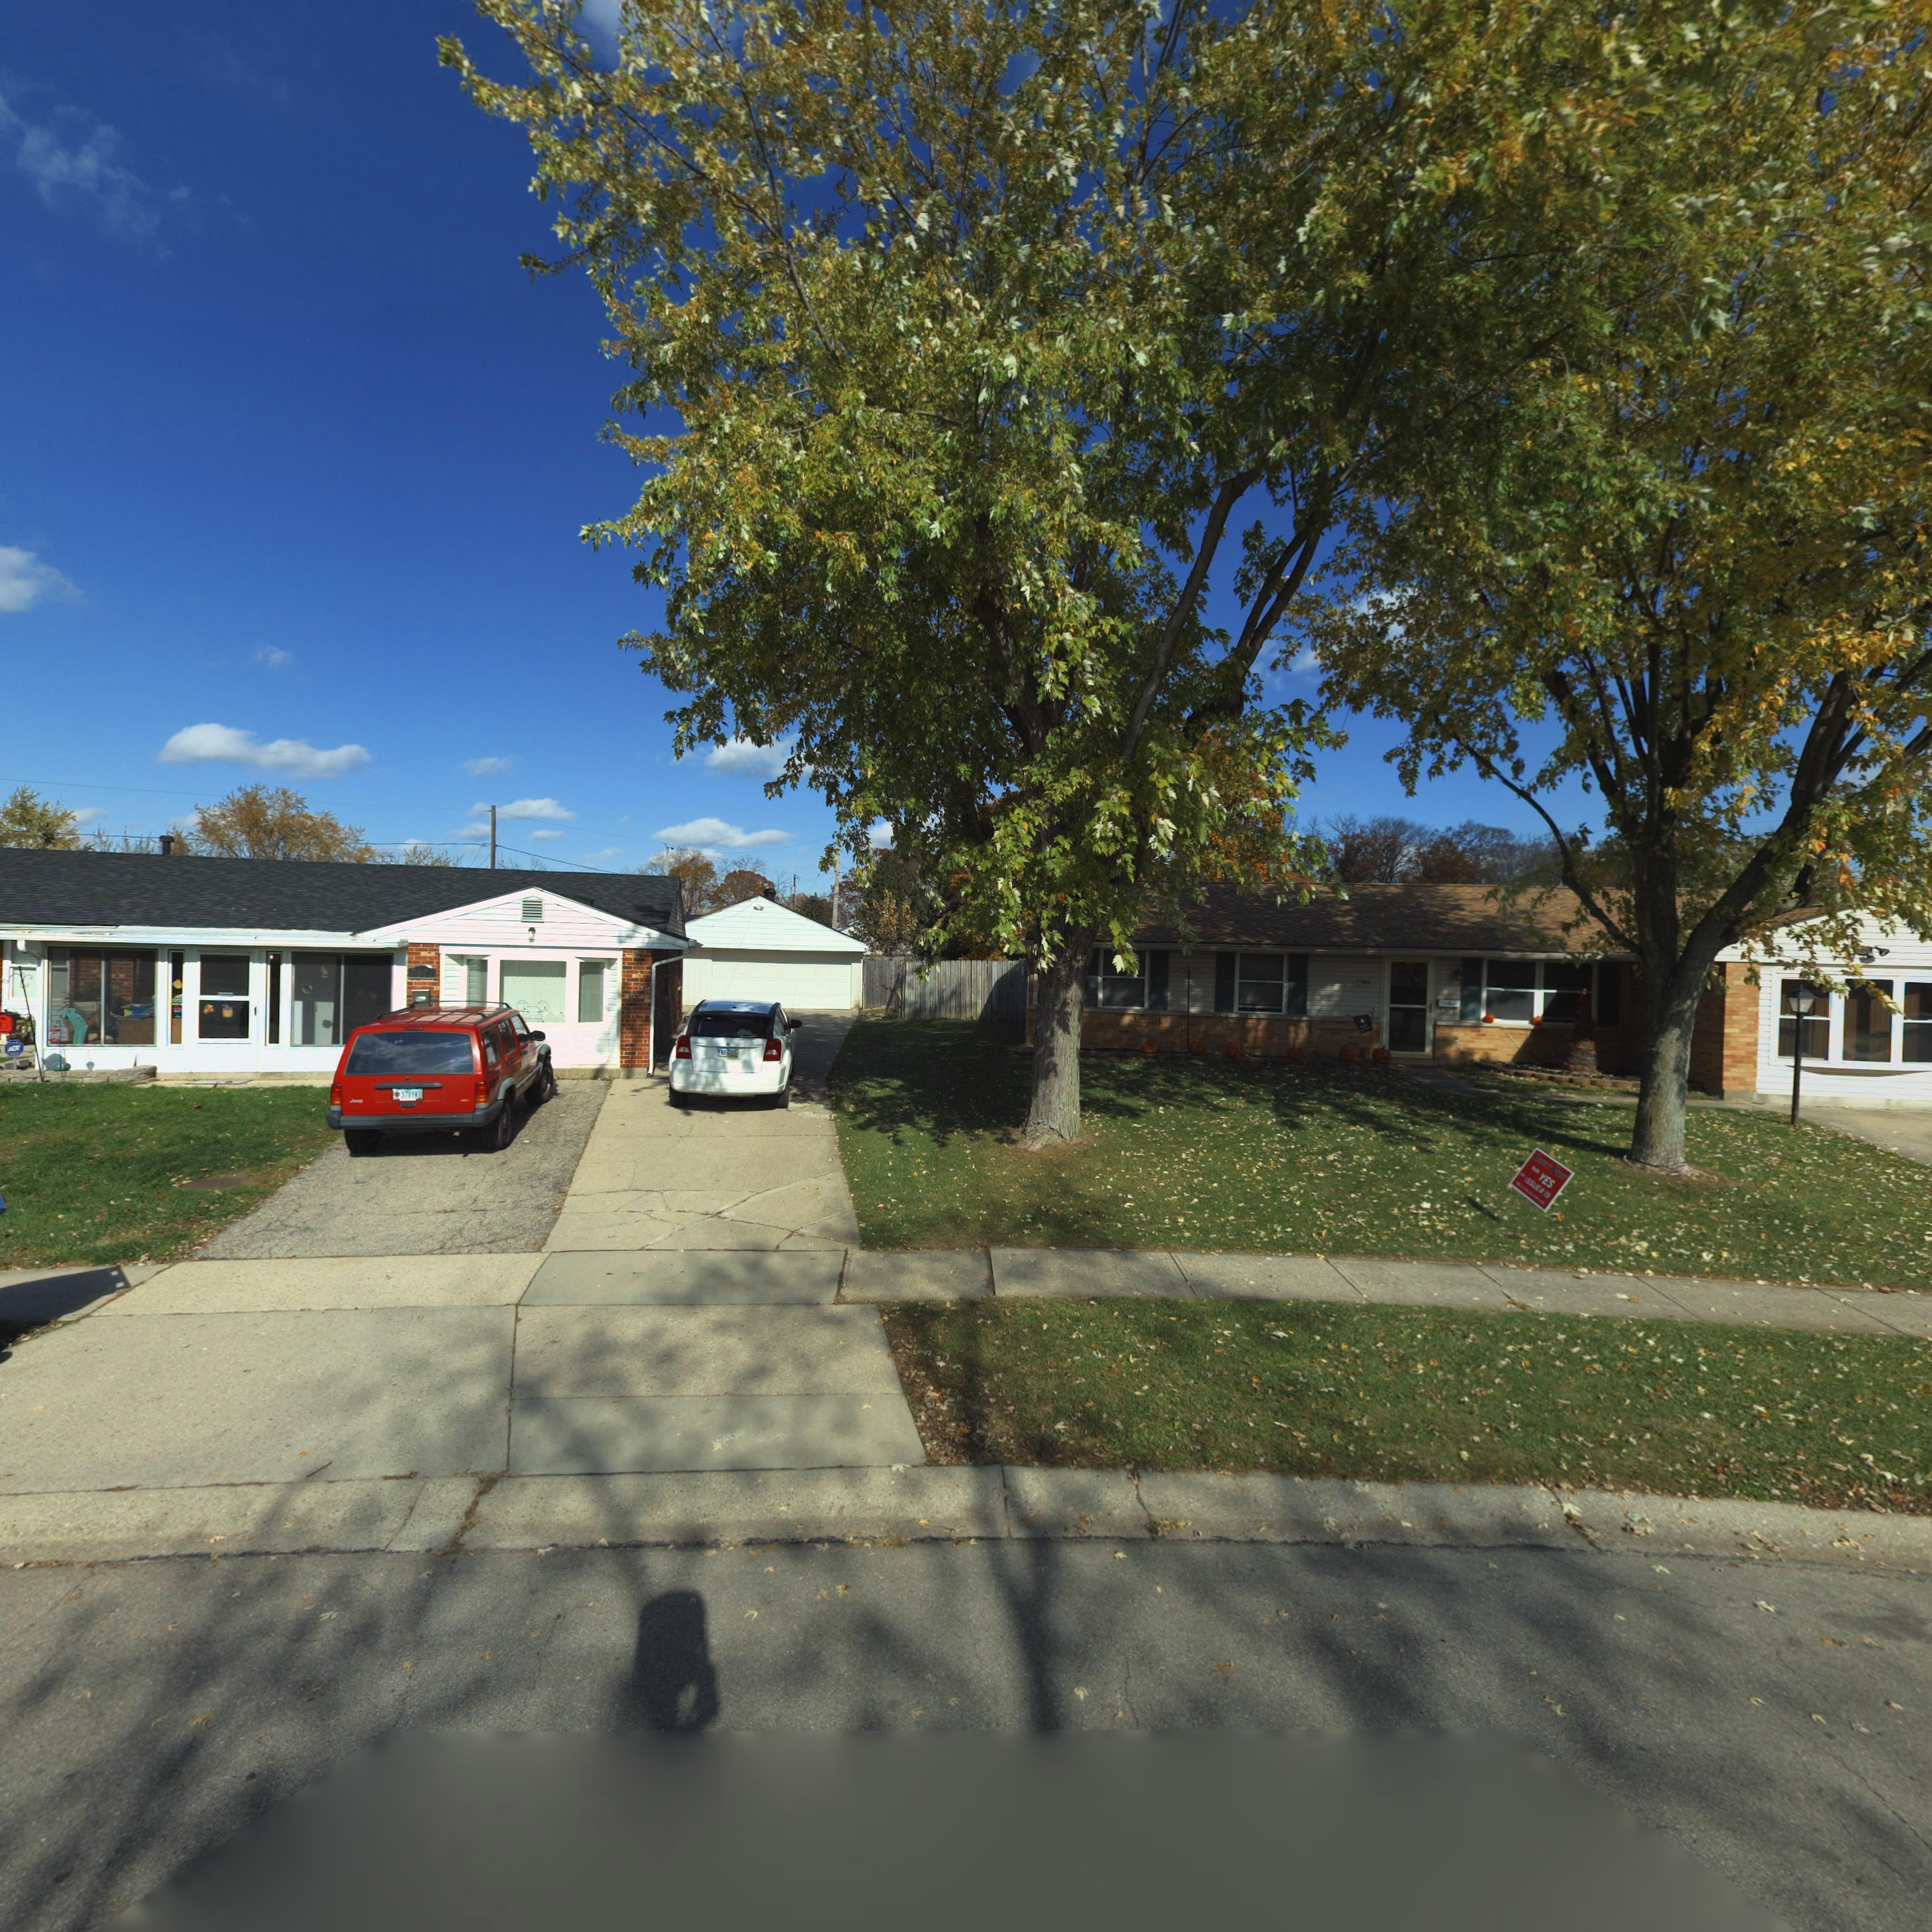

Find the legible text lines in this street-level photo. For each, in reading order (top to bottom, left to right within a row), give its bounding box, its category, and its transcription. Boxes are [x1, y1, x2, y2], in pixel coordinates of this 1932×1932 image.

[411, 968, 434, 977] StreetNumber: 7803
[1359, 980, 1371, 985] StreetNumber: 7*09